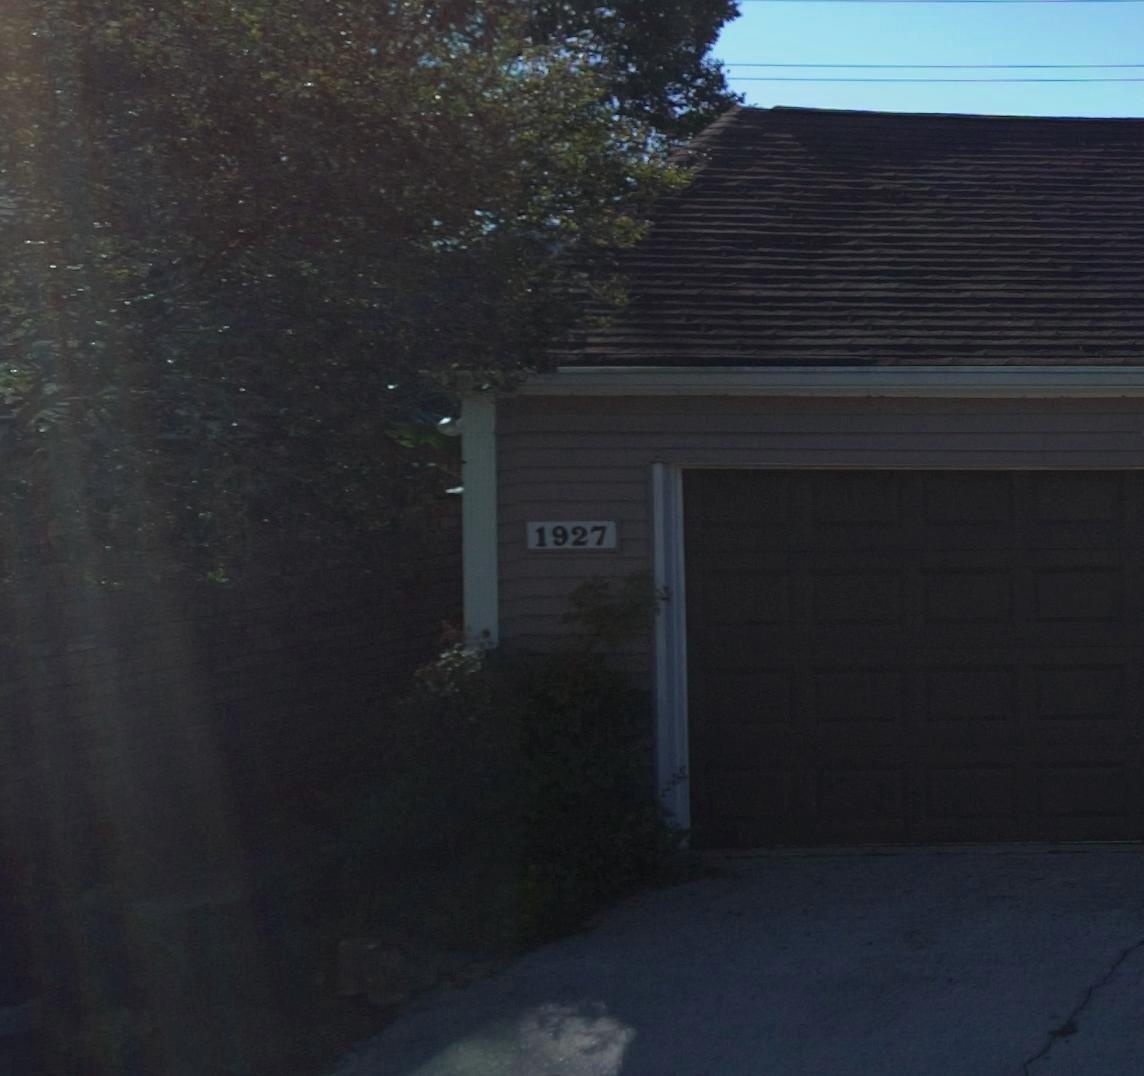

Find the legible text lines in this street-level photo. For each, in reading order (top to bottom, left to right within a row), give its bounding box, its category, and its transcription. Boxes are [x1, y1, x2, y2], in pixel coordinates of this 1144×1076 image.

[532, 522, 610, 549] StreetNumber: 1927